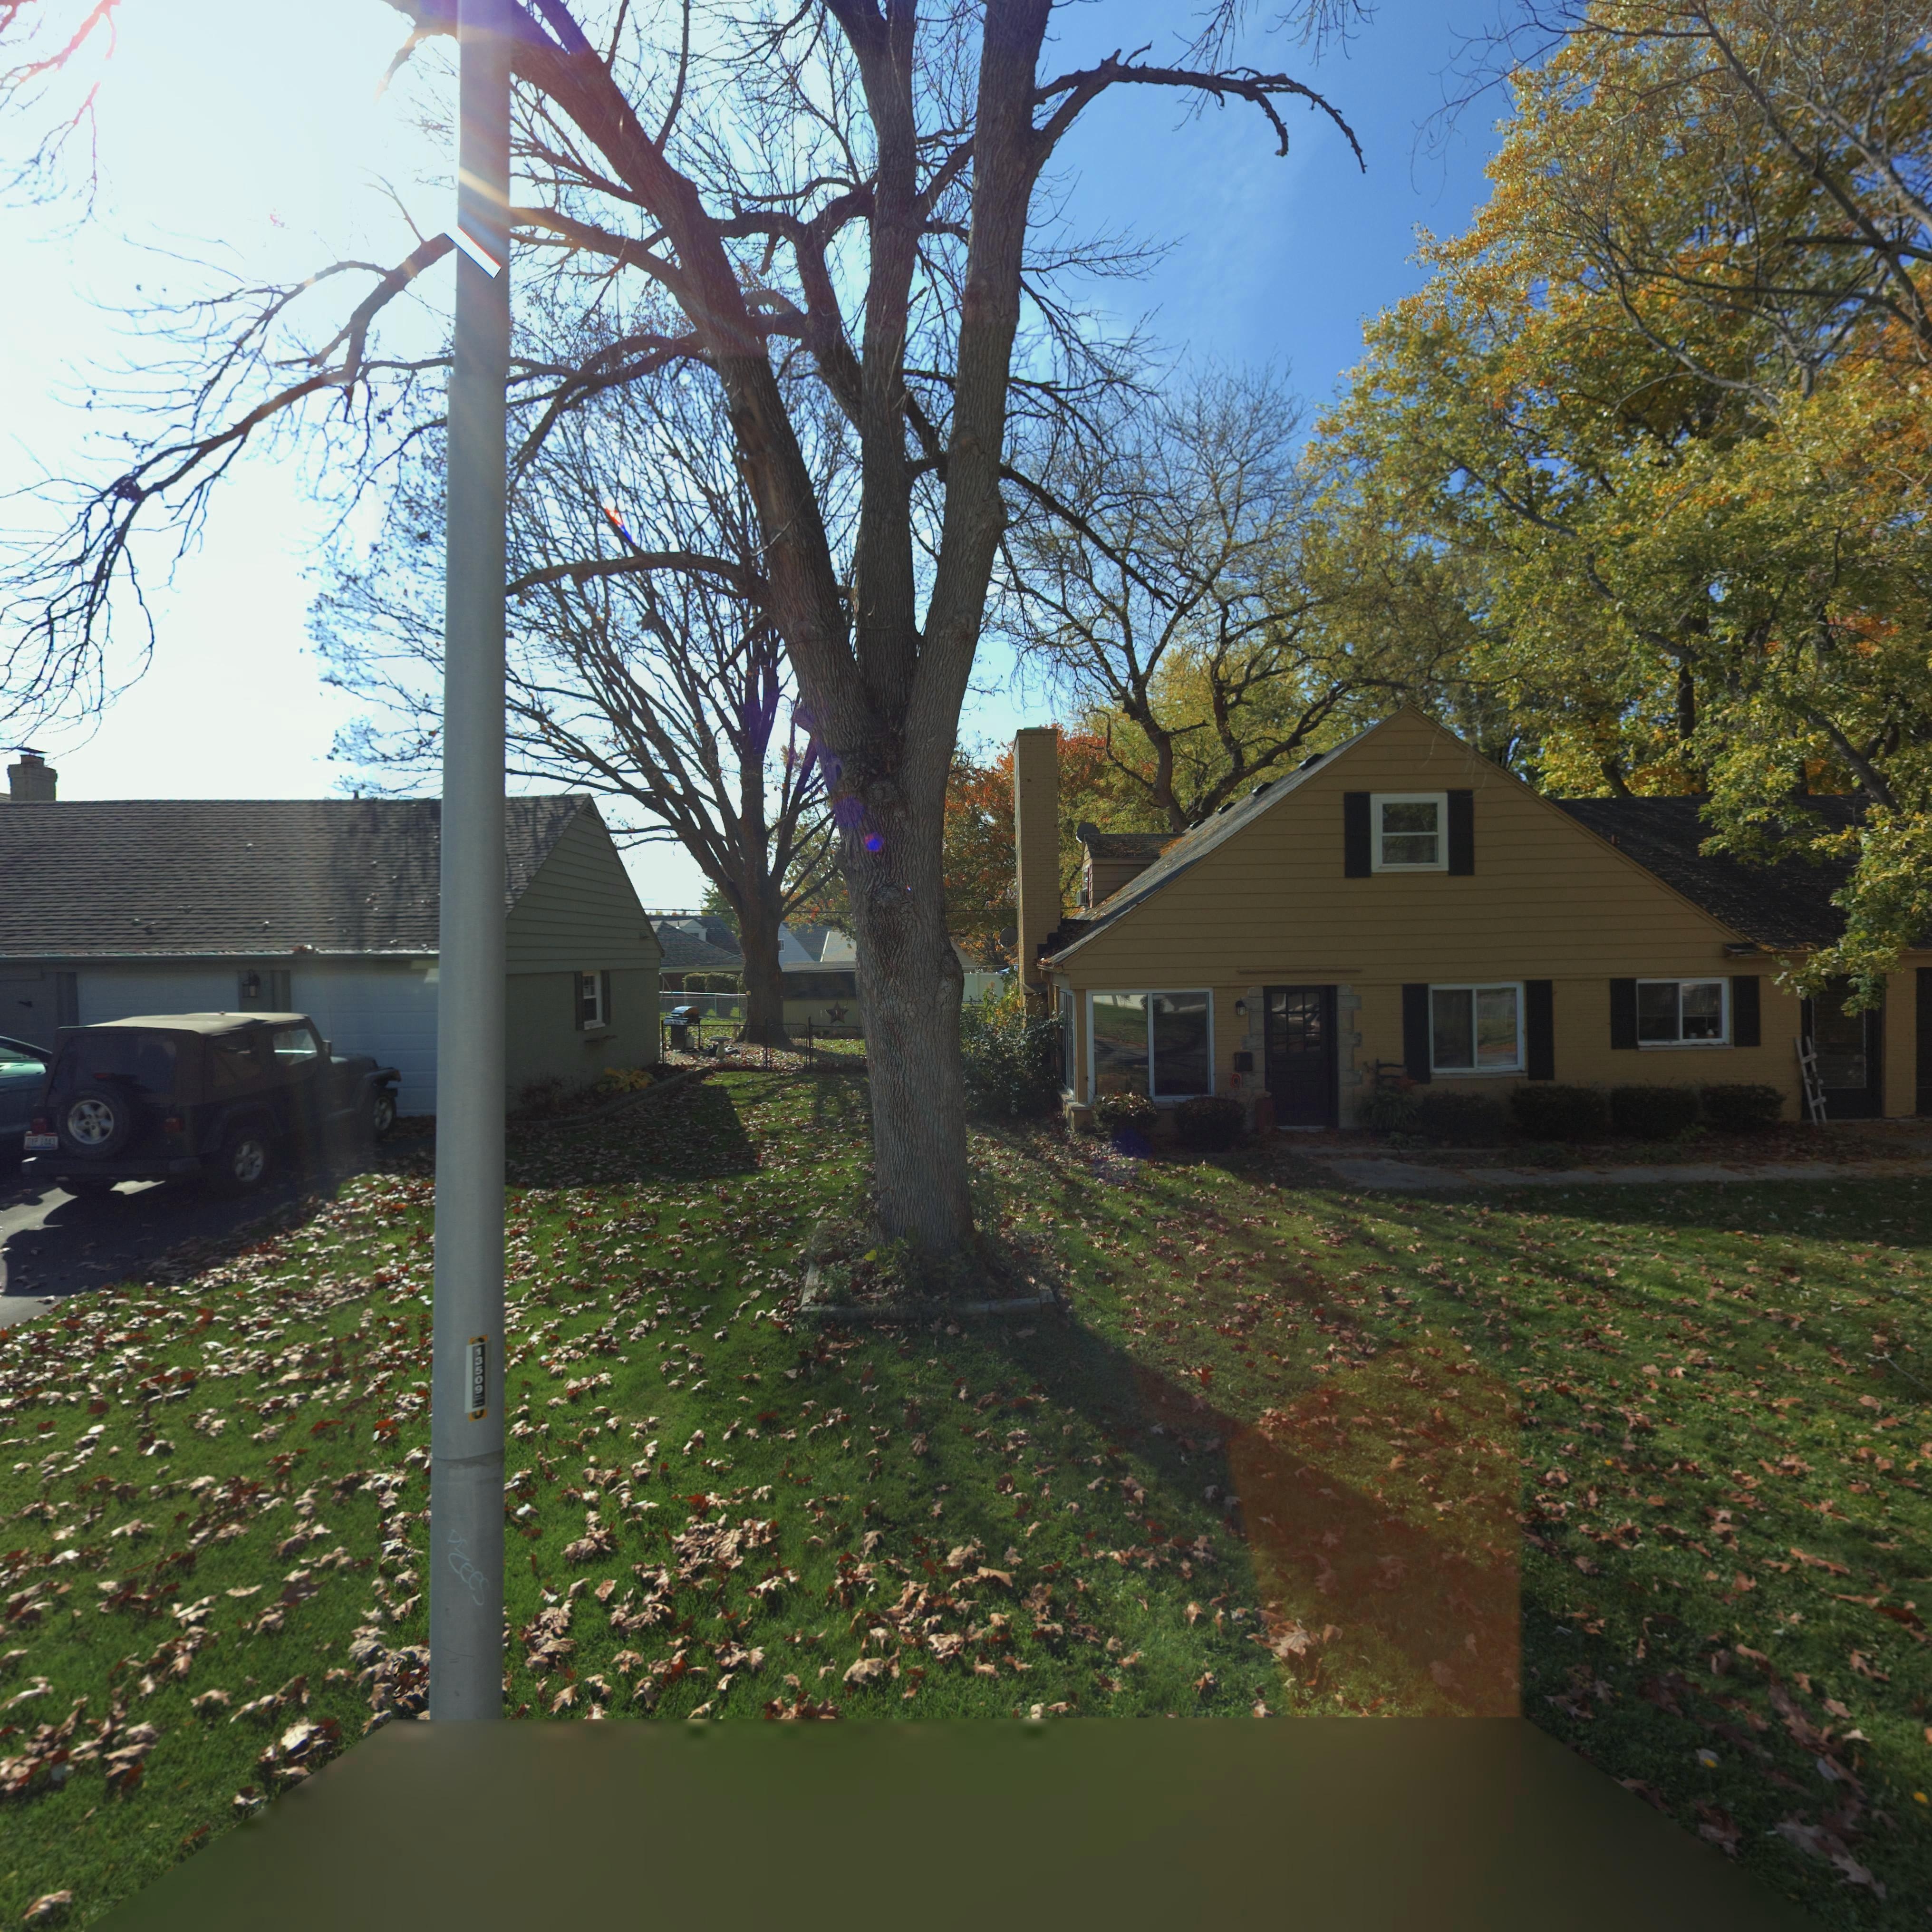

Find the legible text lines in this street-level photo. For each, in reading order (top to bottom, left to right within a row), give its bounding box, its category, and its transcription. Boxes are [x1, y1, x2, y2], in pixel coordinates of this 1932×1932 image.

[473, 1344, 484, 1396] None: 13509